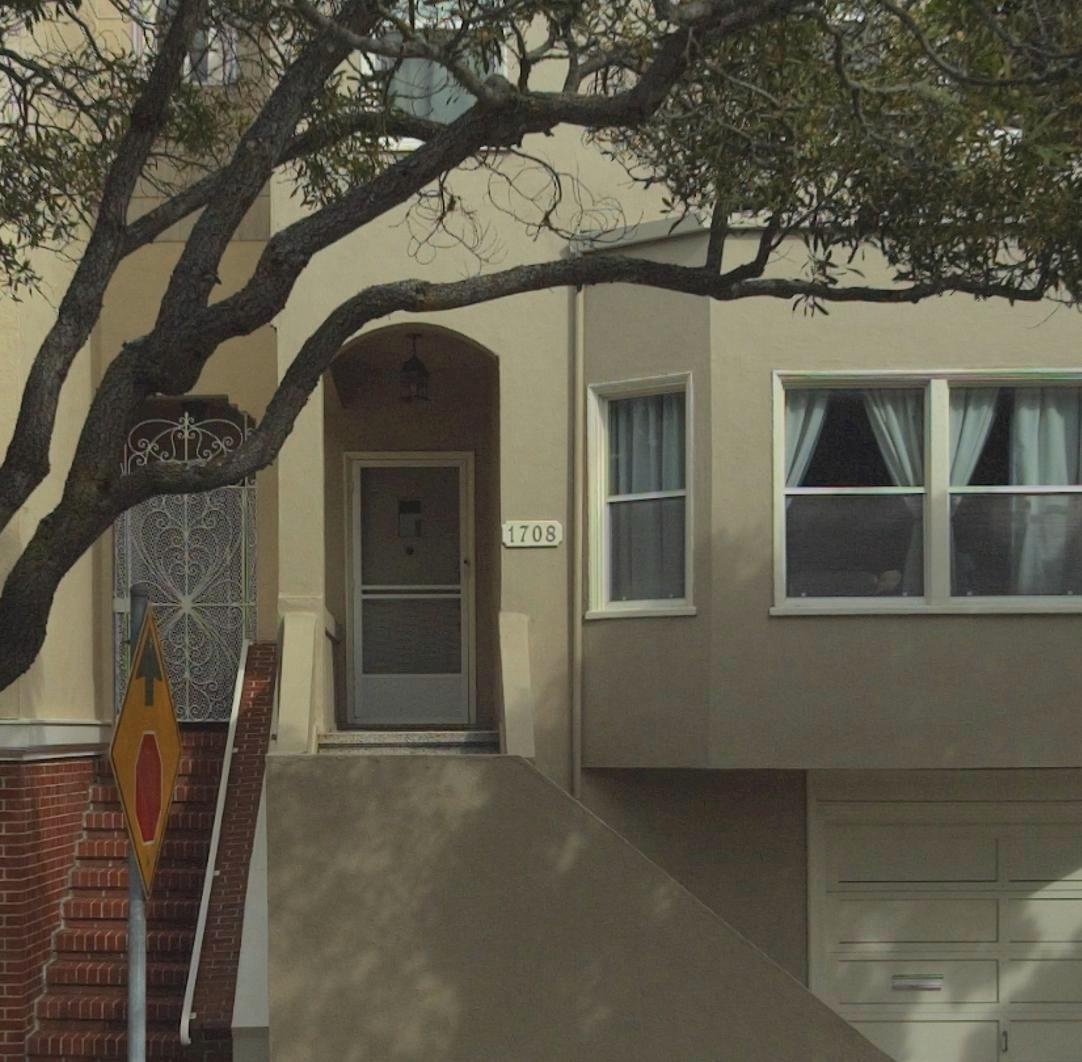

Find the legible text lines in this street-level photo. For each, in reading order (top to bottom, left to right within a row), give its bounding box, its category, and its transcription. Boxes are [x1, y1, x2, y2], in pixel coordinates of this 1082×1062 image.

[508, 524, 557, 544] StreetNumber: 1708